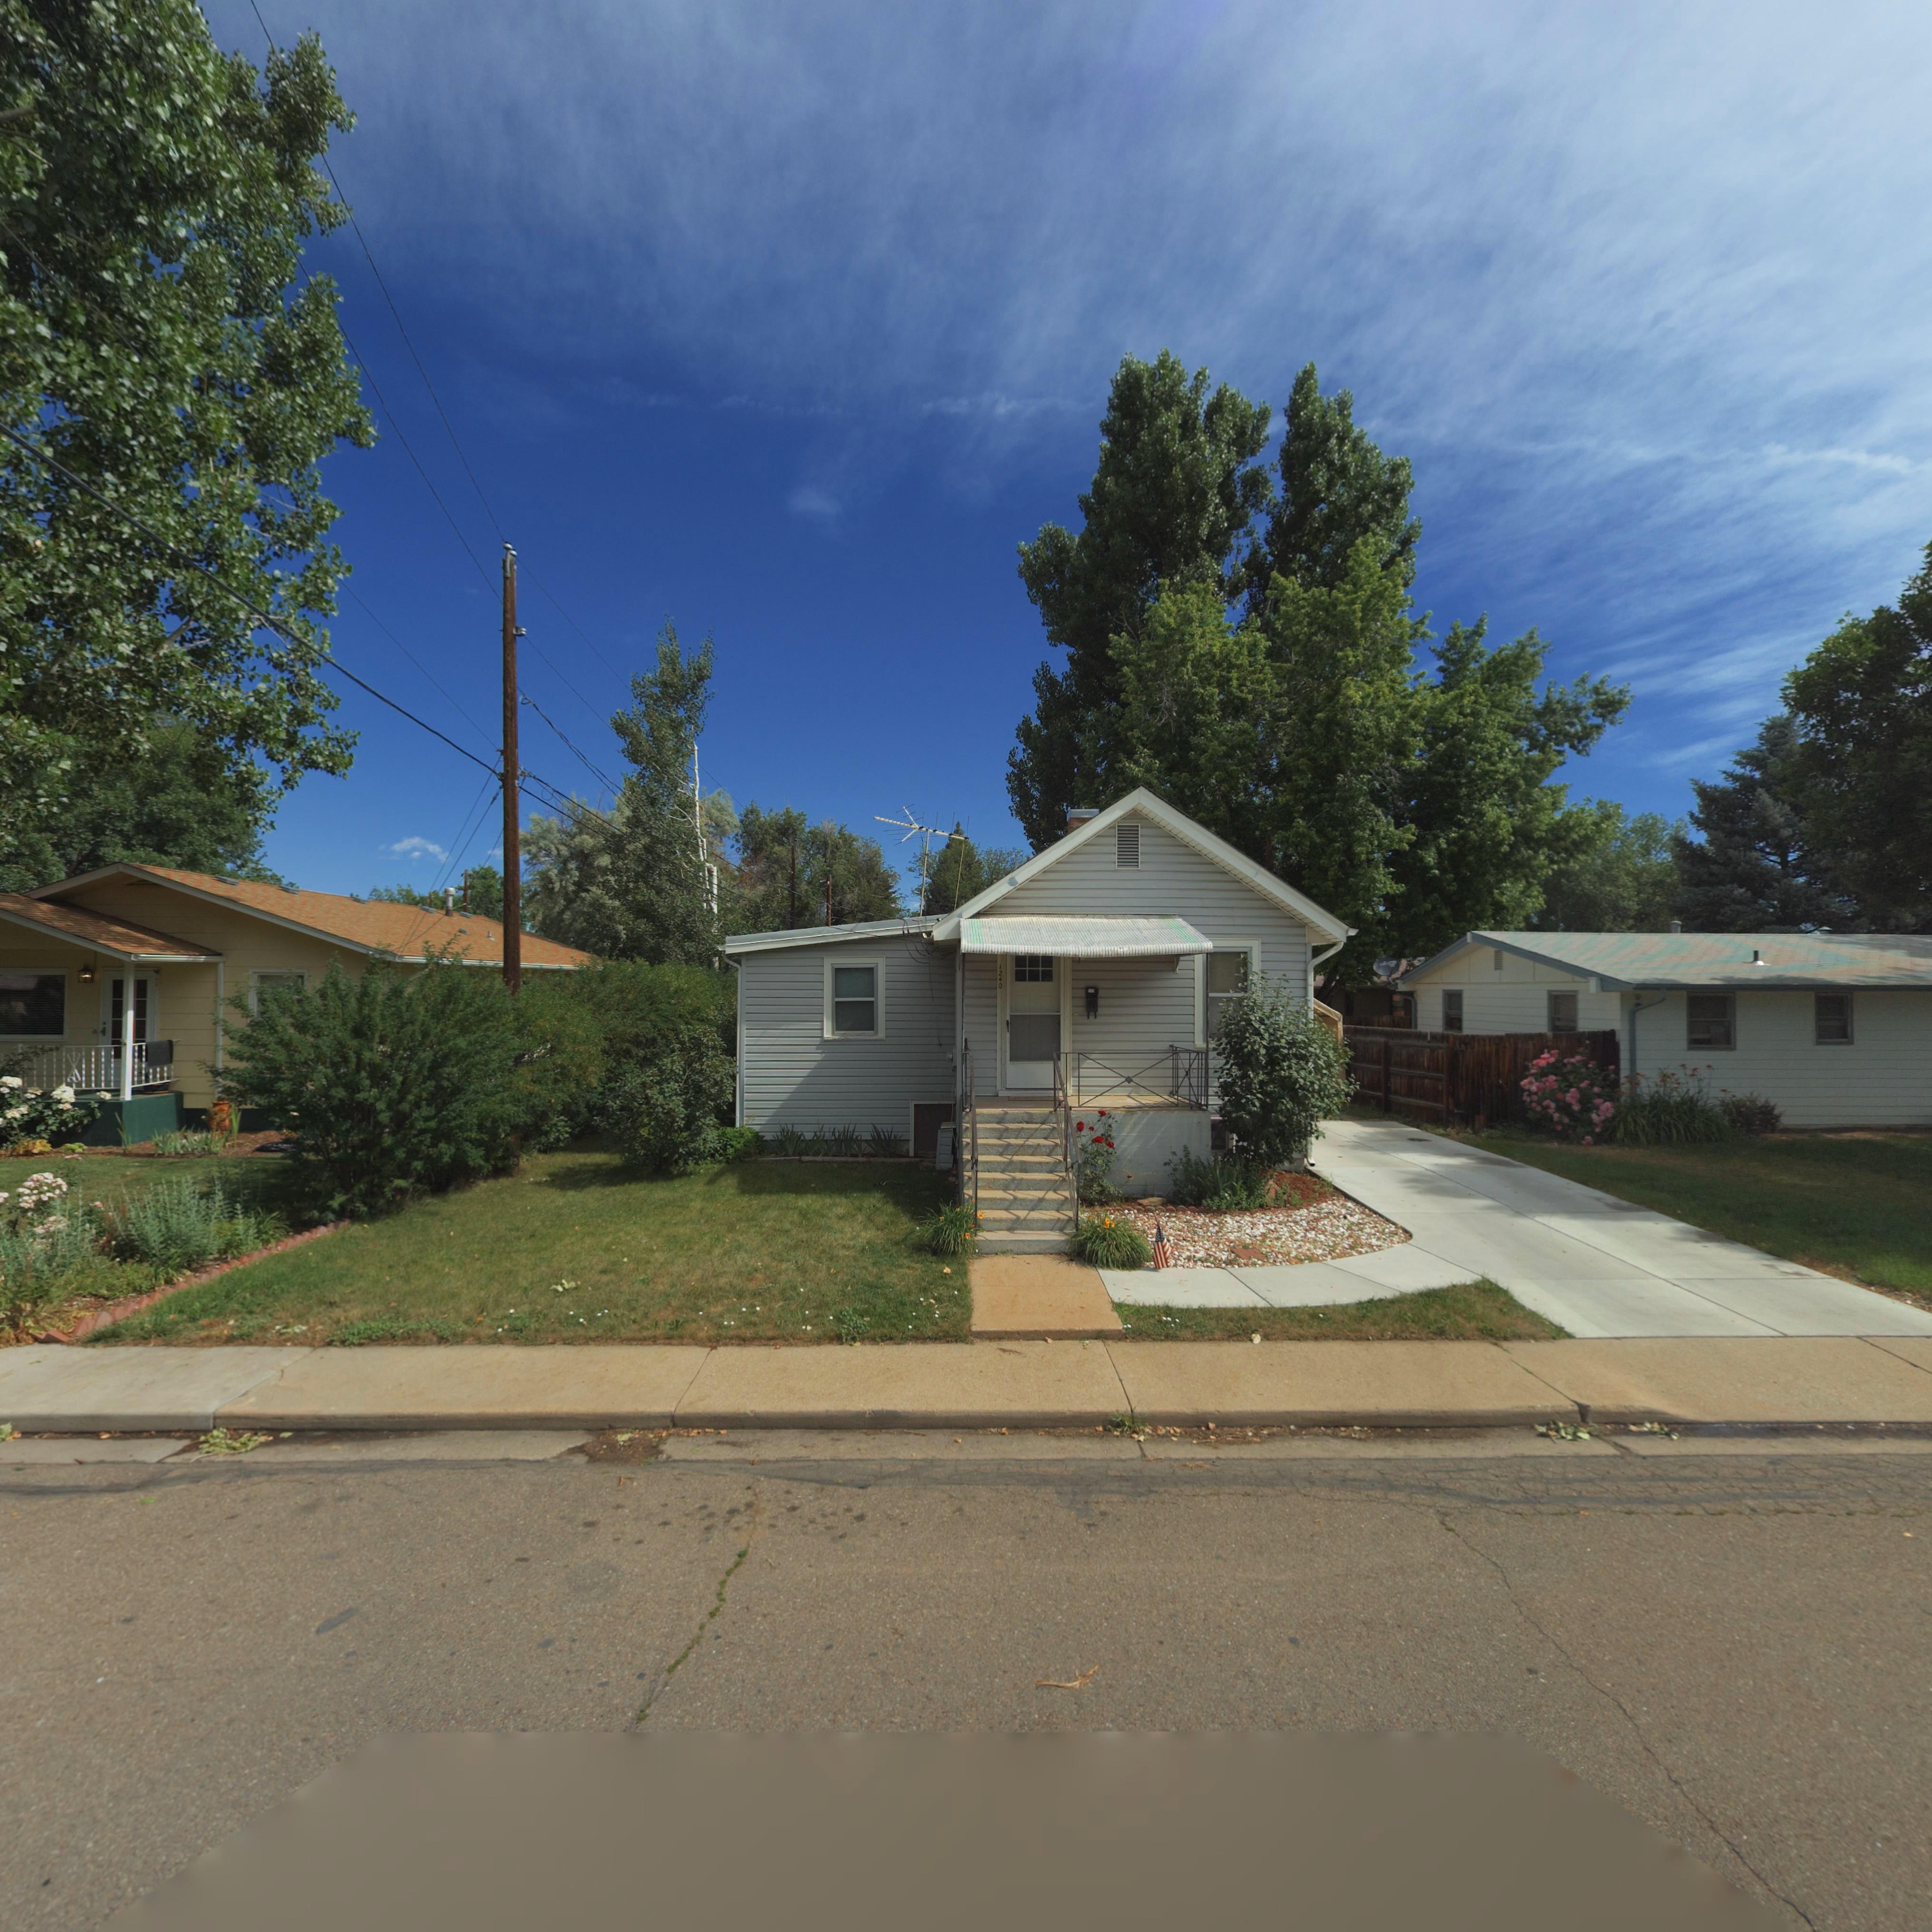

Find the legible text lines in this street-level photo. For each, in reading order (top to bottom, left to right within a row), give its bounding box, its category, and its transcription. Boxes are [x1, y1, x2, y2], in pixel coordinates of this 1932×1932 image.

[998, 963, 1003, 989] StreetNumber: 1240